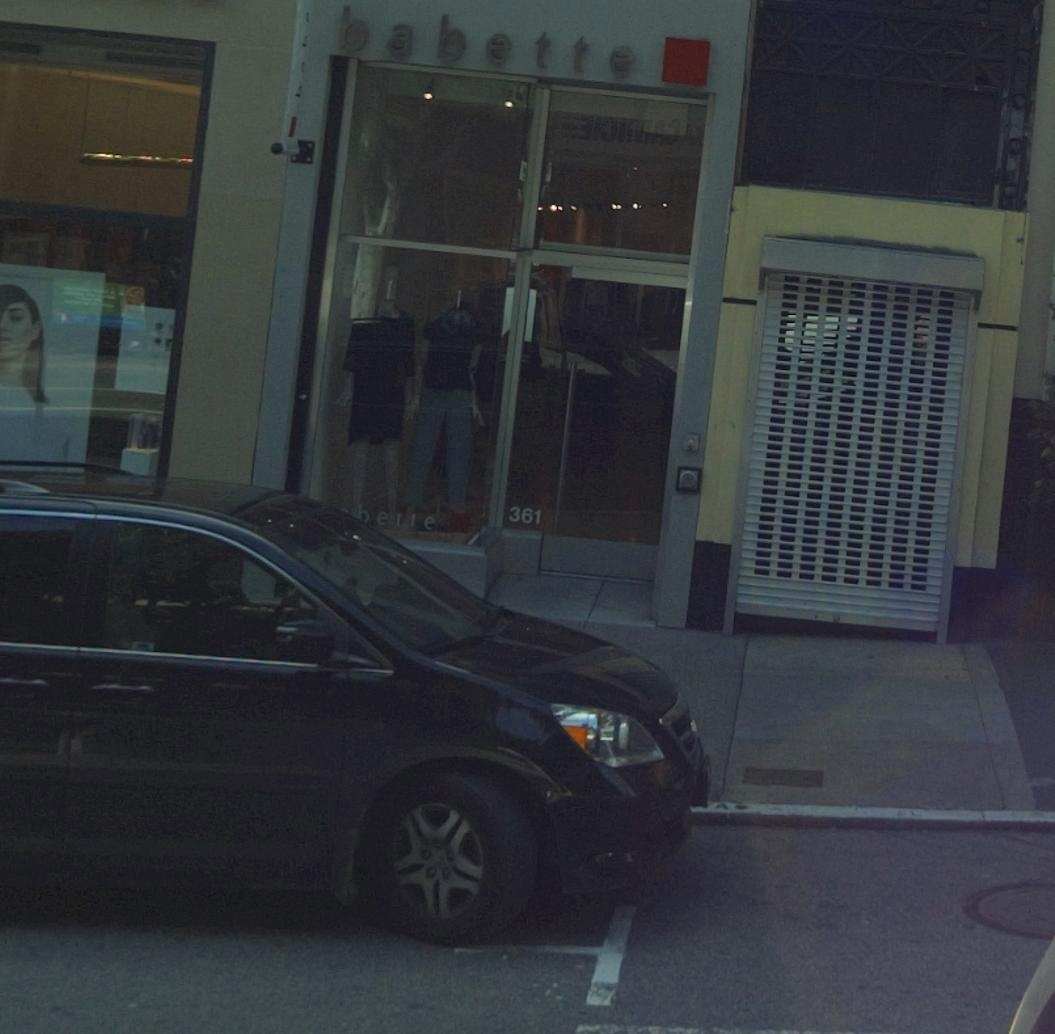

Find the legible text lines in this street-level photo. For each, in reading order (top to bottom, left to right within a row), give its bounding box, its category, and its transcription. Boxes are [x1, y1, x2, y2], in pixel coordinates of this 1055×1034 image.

[332, 3, 643, 87] BusinessName: babette
[571, 111, 689, 148] None: ***IMA*
[371, 505, 439, 535] None: etie
[504, 502, 547, 530] StreetNumber: 361